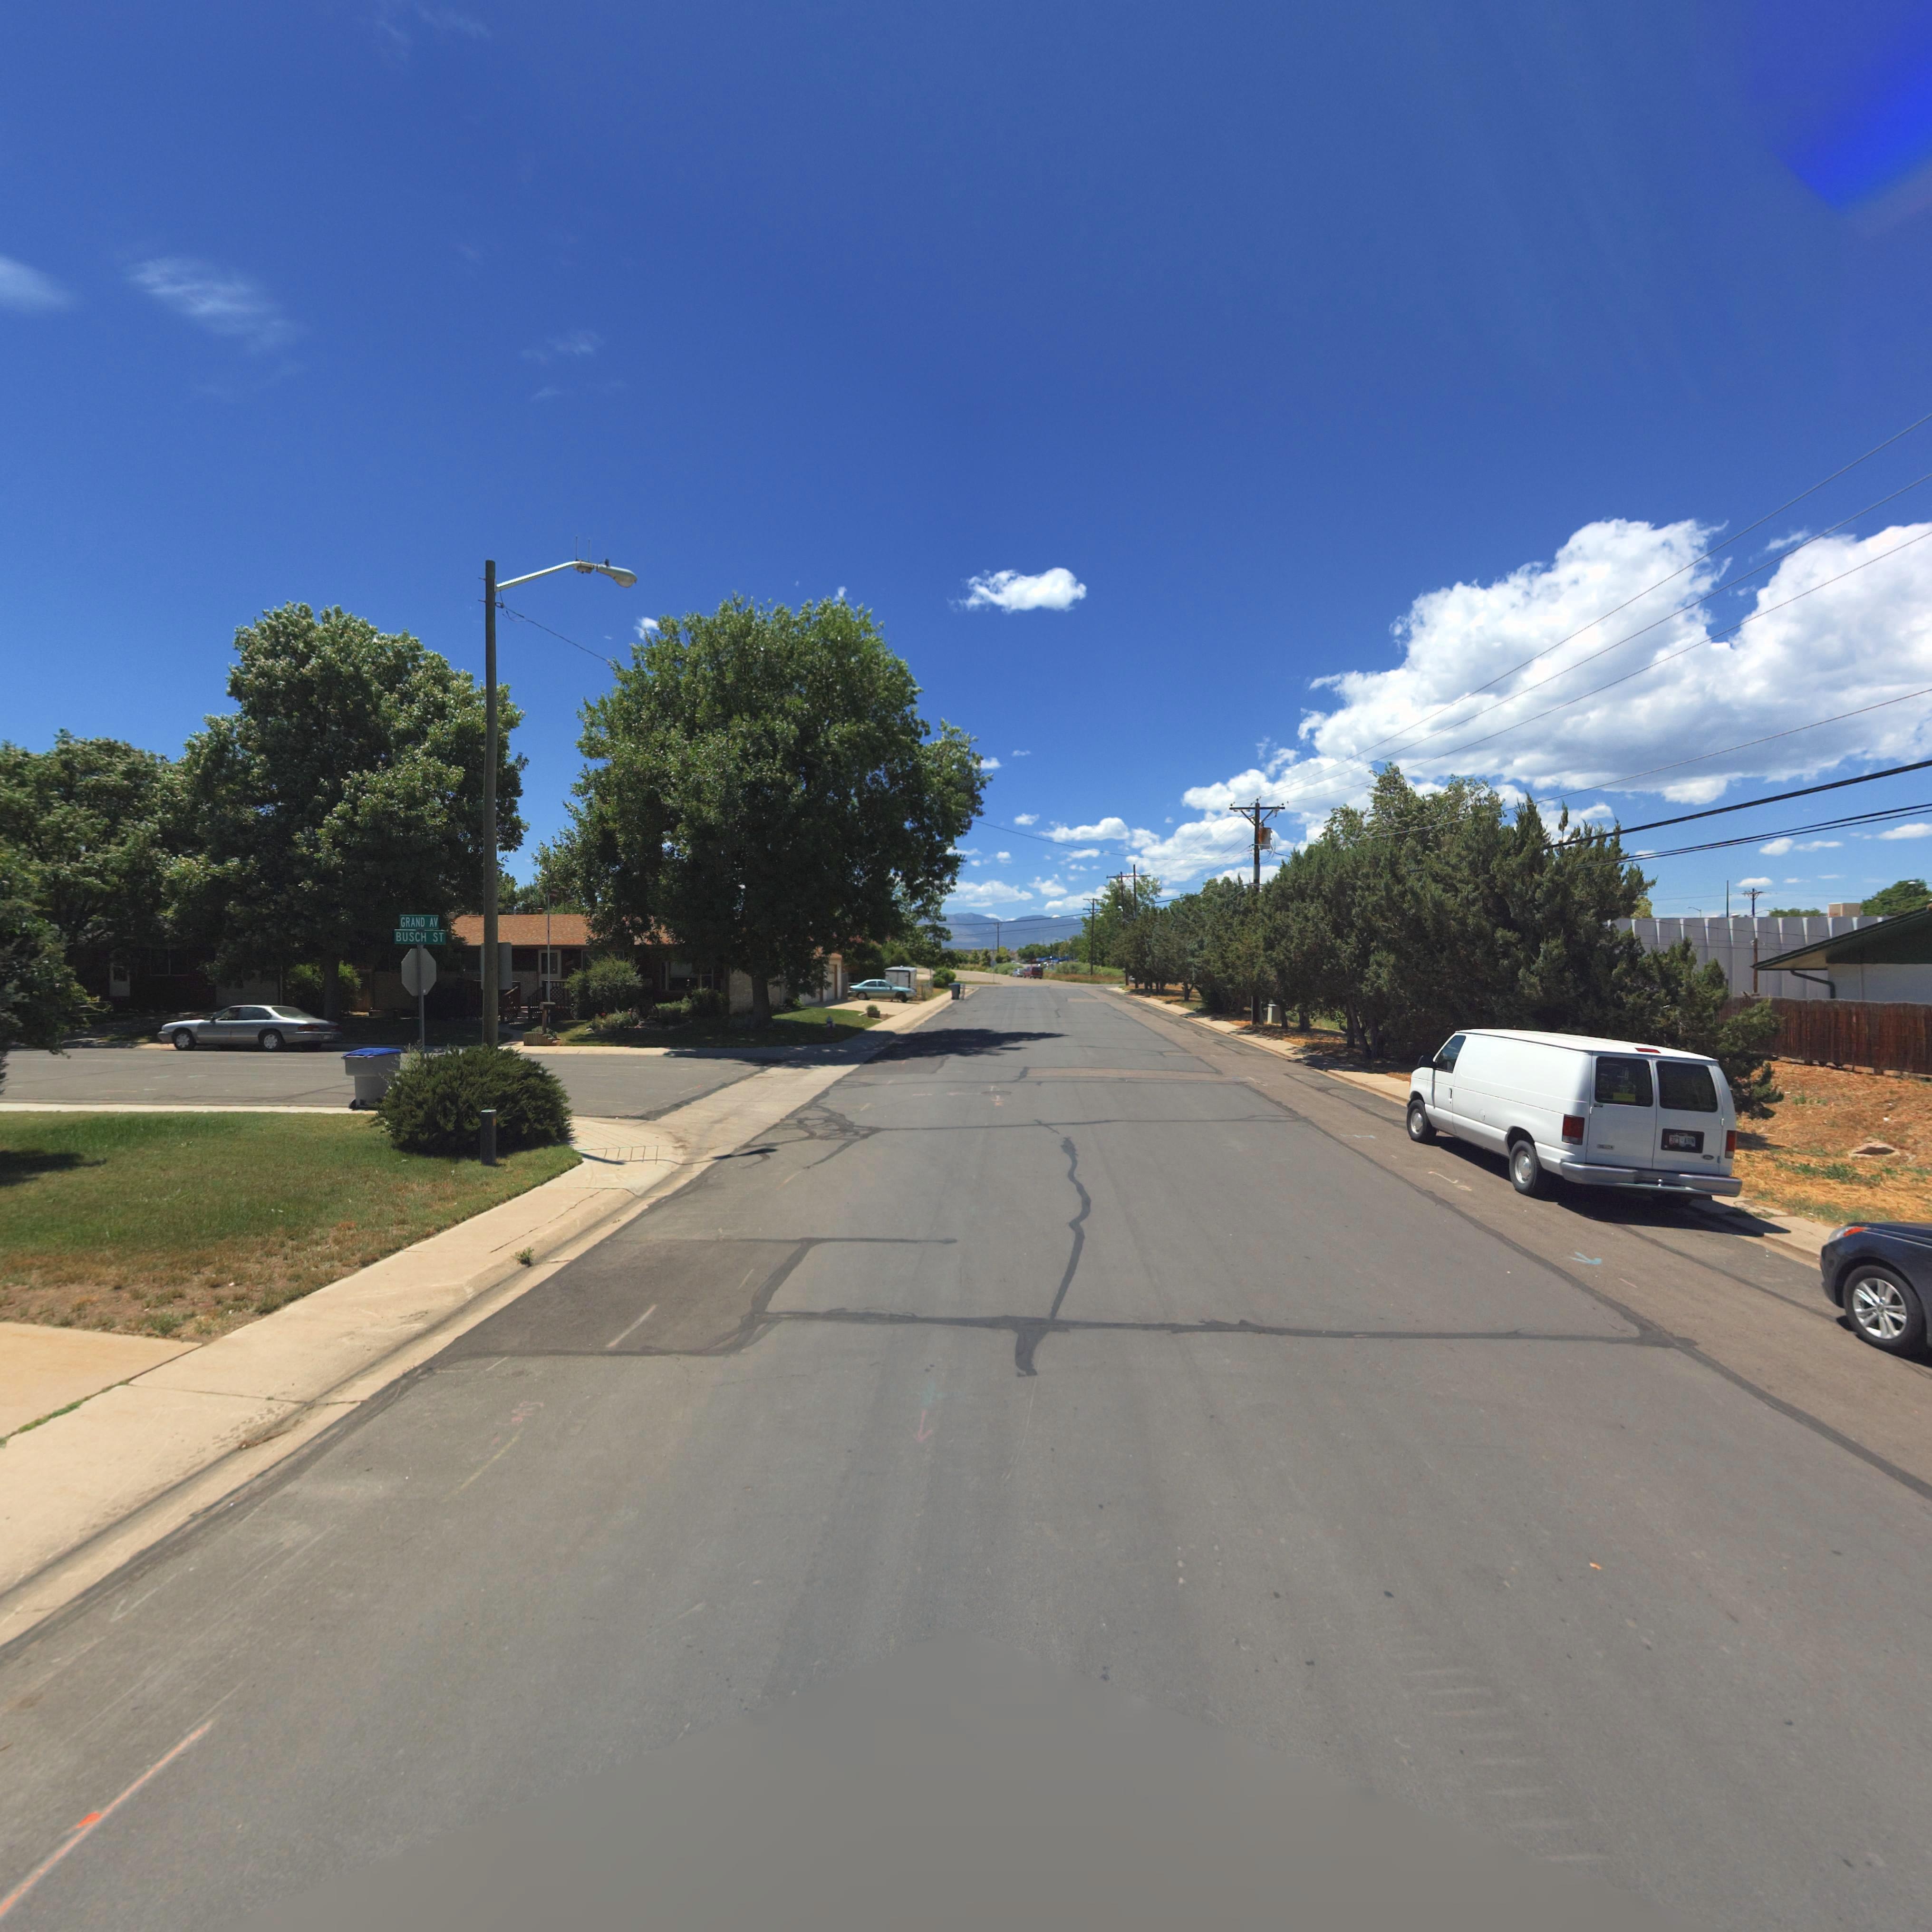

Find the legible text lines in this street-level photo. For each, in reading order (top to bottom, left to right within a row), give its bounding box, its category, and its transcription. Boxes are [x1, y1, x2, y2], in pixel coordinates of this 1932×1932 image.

[400, 916, 438, 927] StreetName: GRAND AV
[396, 931, 444, 942] StreetName: BUSCH ST